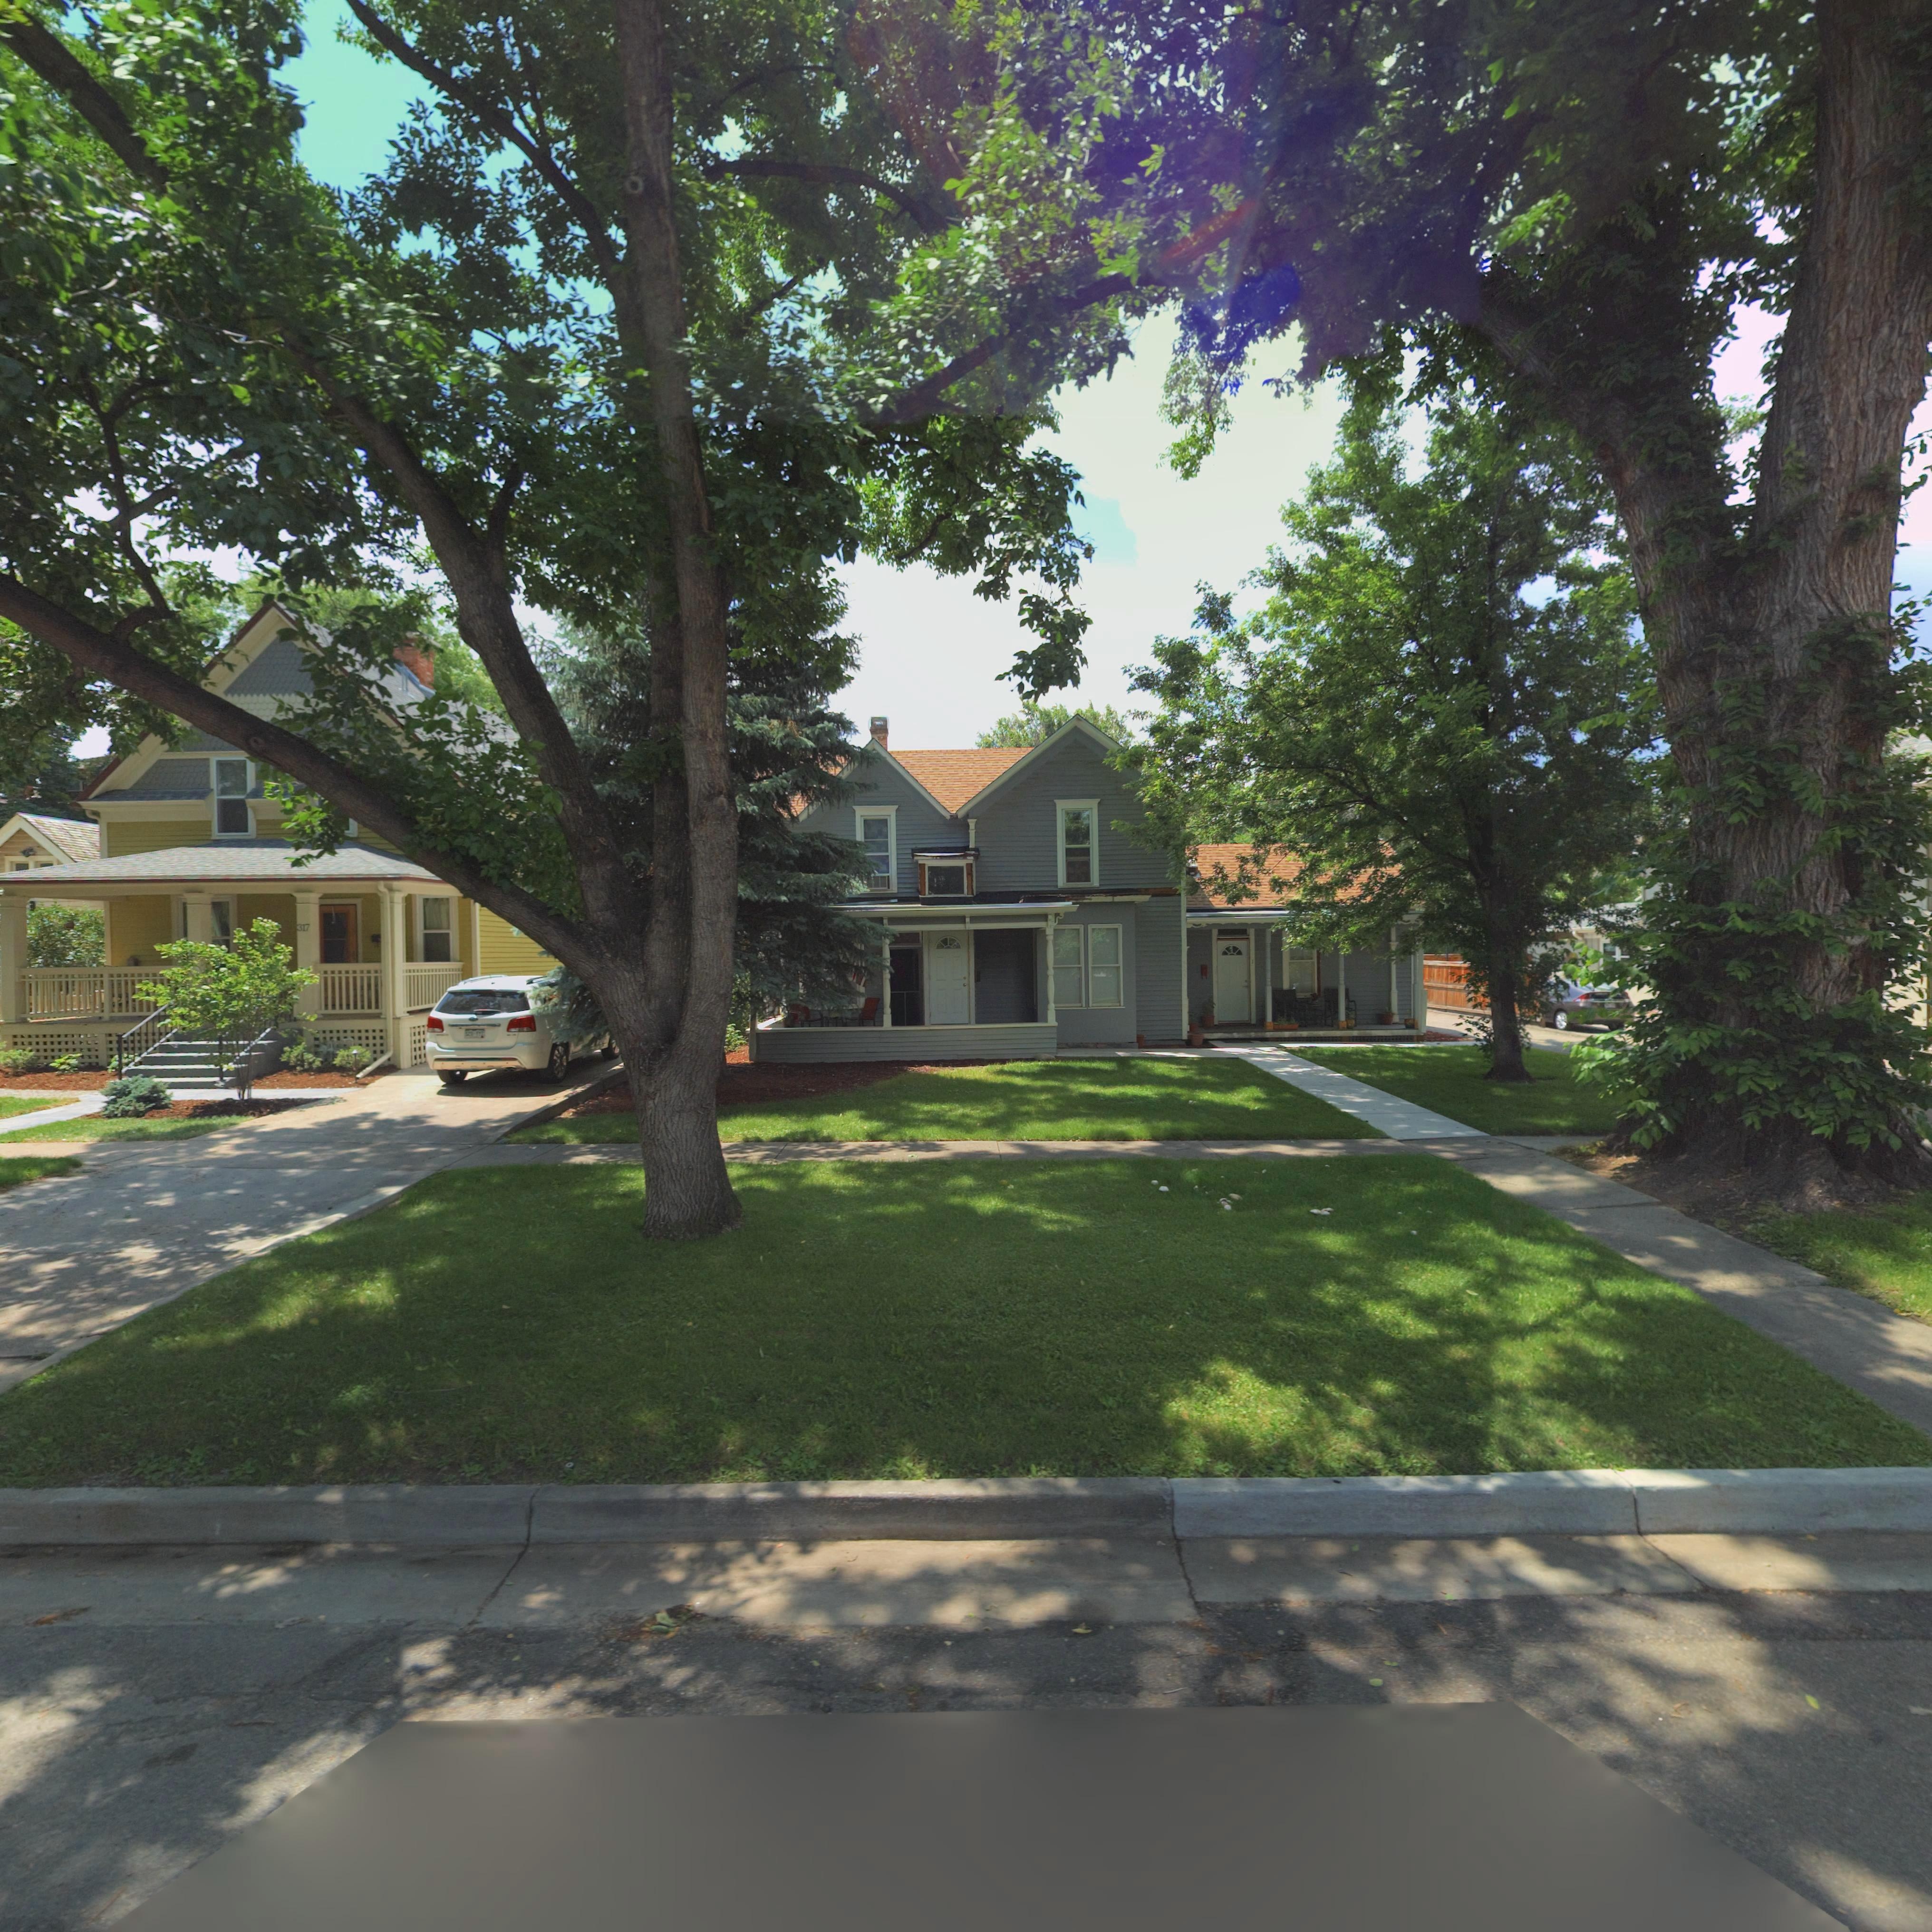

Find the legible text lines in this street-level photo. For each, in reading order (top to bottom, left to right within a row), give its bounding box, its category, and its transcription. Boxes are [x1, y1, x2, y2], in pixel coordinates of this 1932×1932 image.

[296, 923, 310, 931] StreetNumber: 317